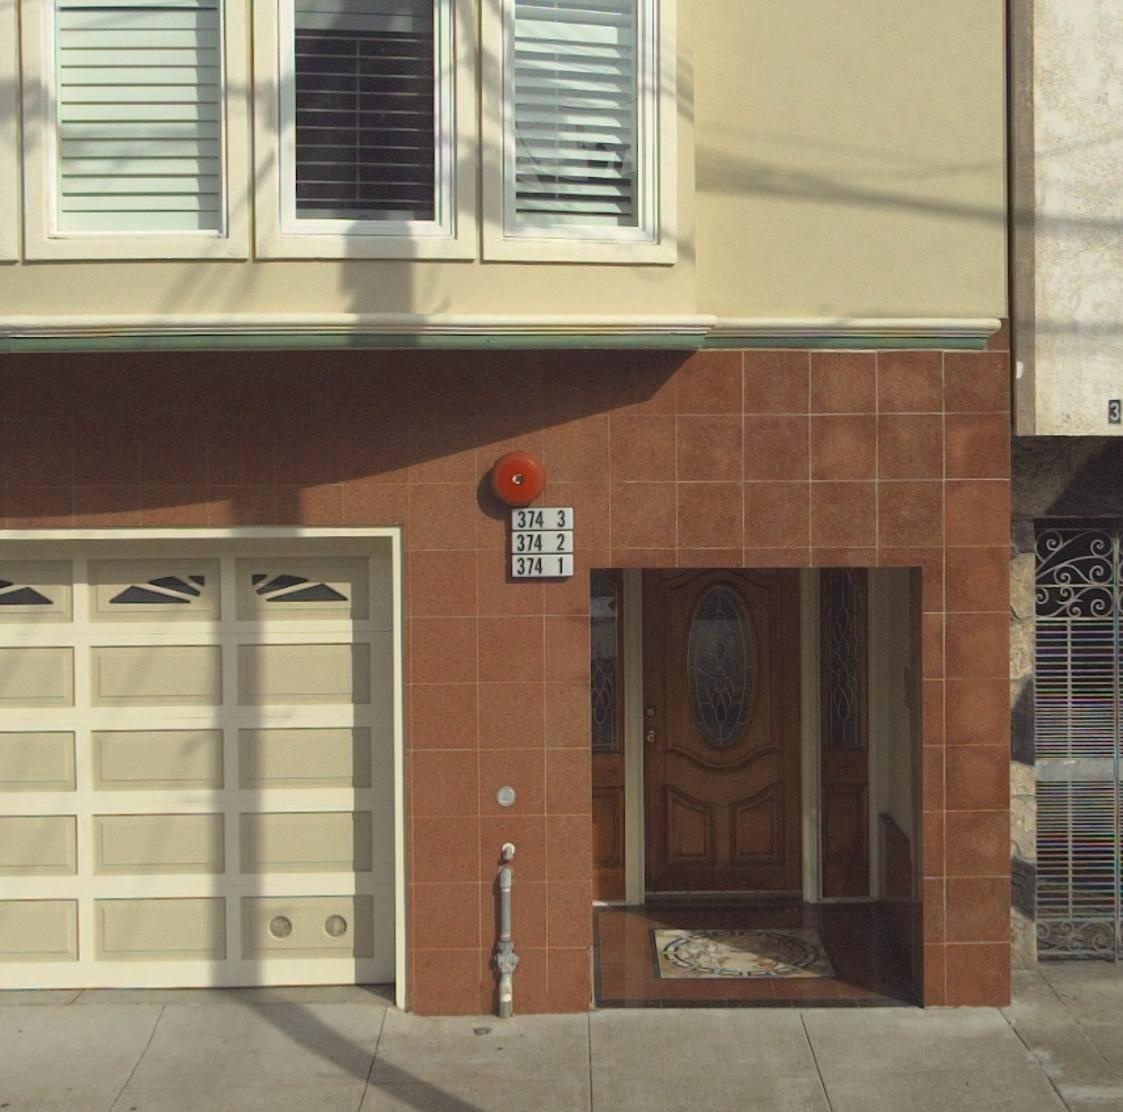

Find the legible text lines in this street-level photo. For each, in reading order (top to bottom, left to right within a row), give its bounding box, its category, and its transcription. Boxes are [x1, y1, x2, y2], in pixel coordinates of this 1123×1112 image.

[1109, 401, 1121, 422] StreetNumber: 3
[517, 509, 567, 529] StreetNumber: 374 3
[516, 533, 567, 552] StreetNumber: 374 2
[515, 556, 565, 575] StreetNumber: 374 1